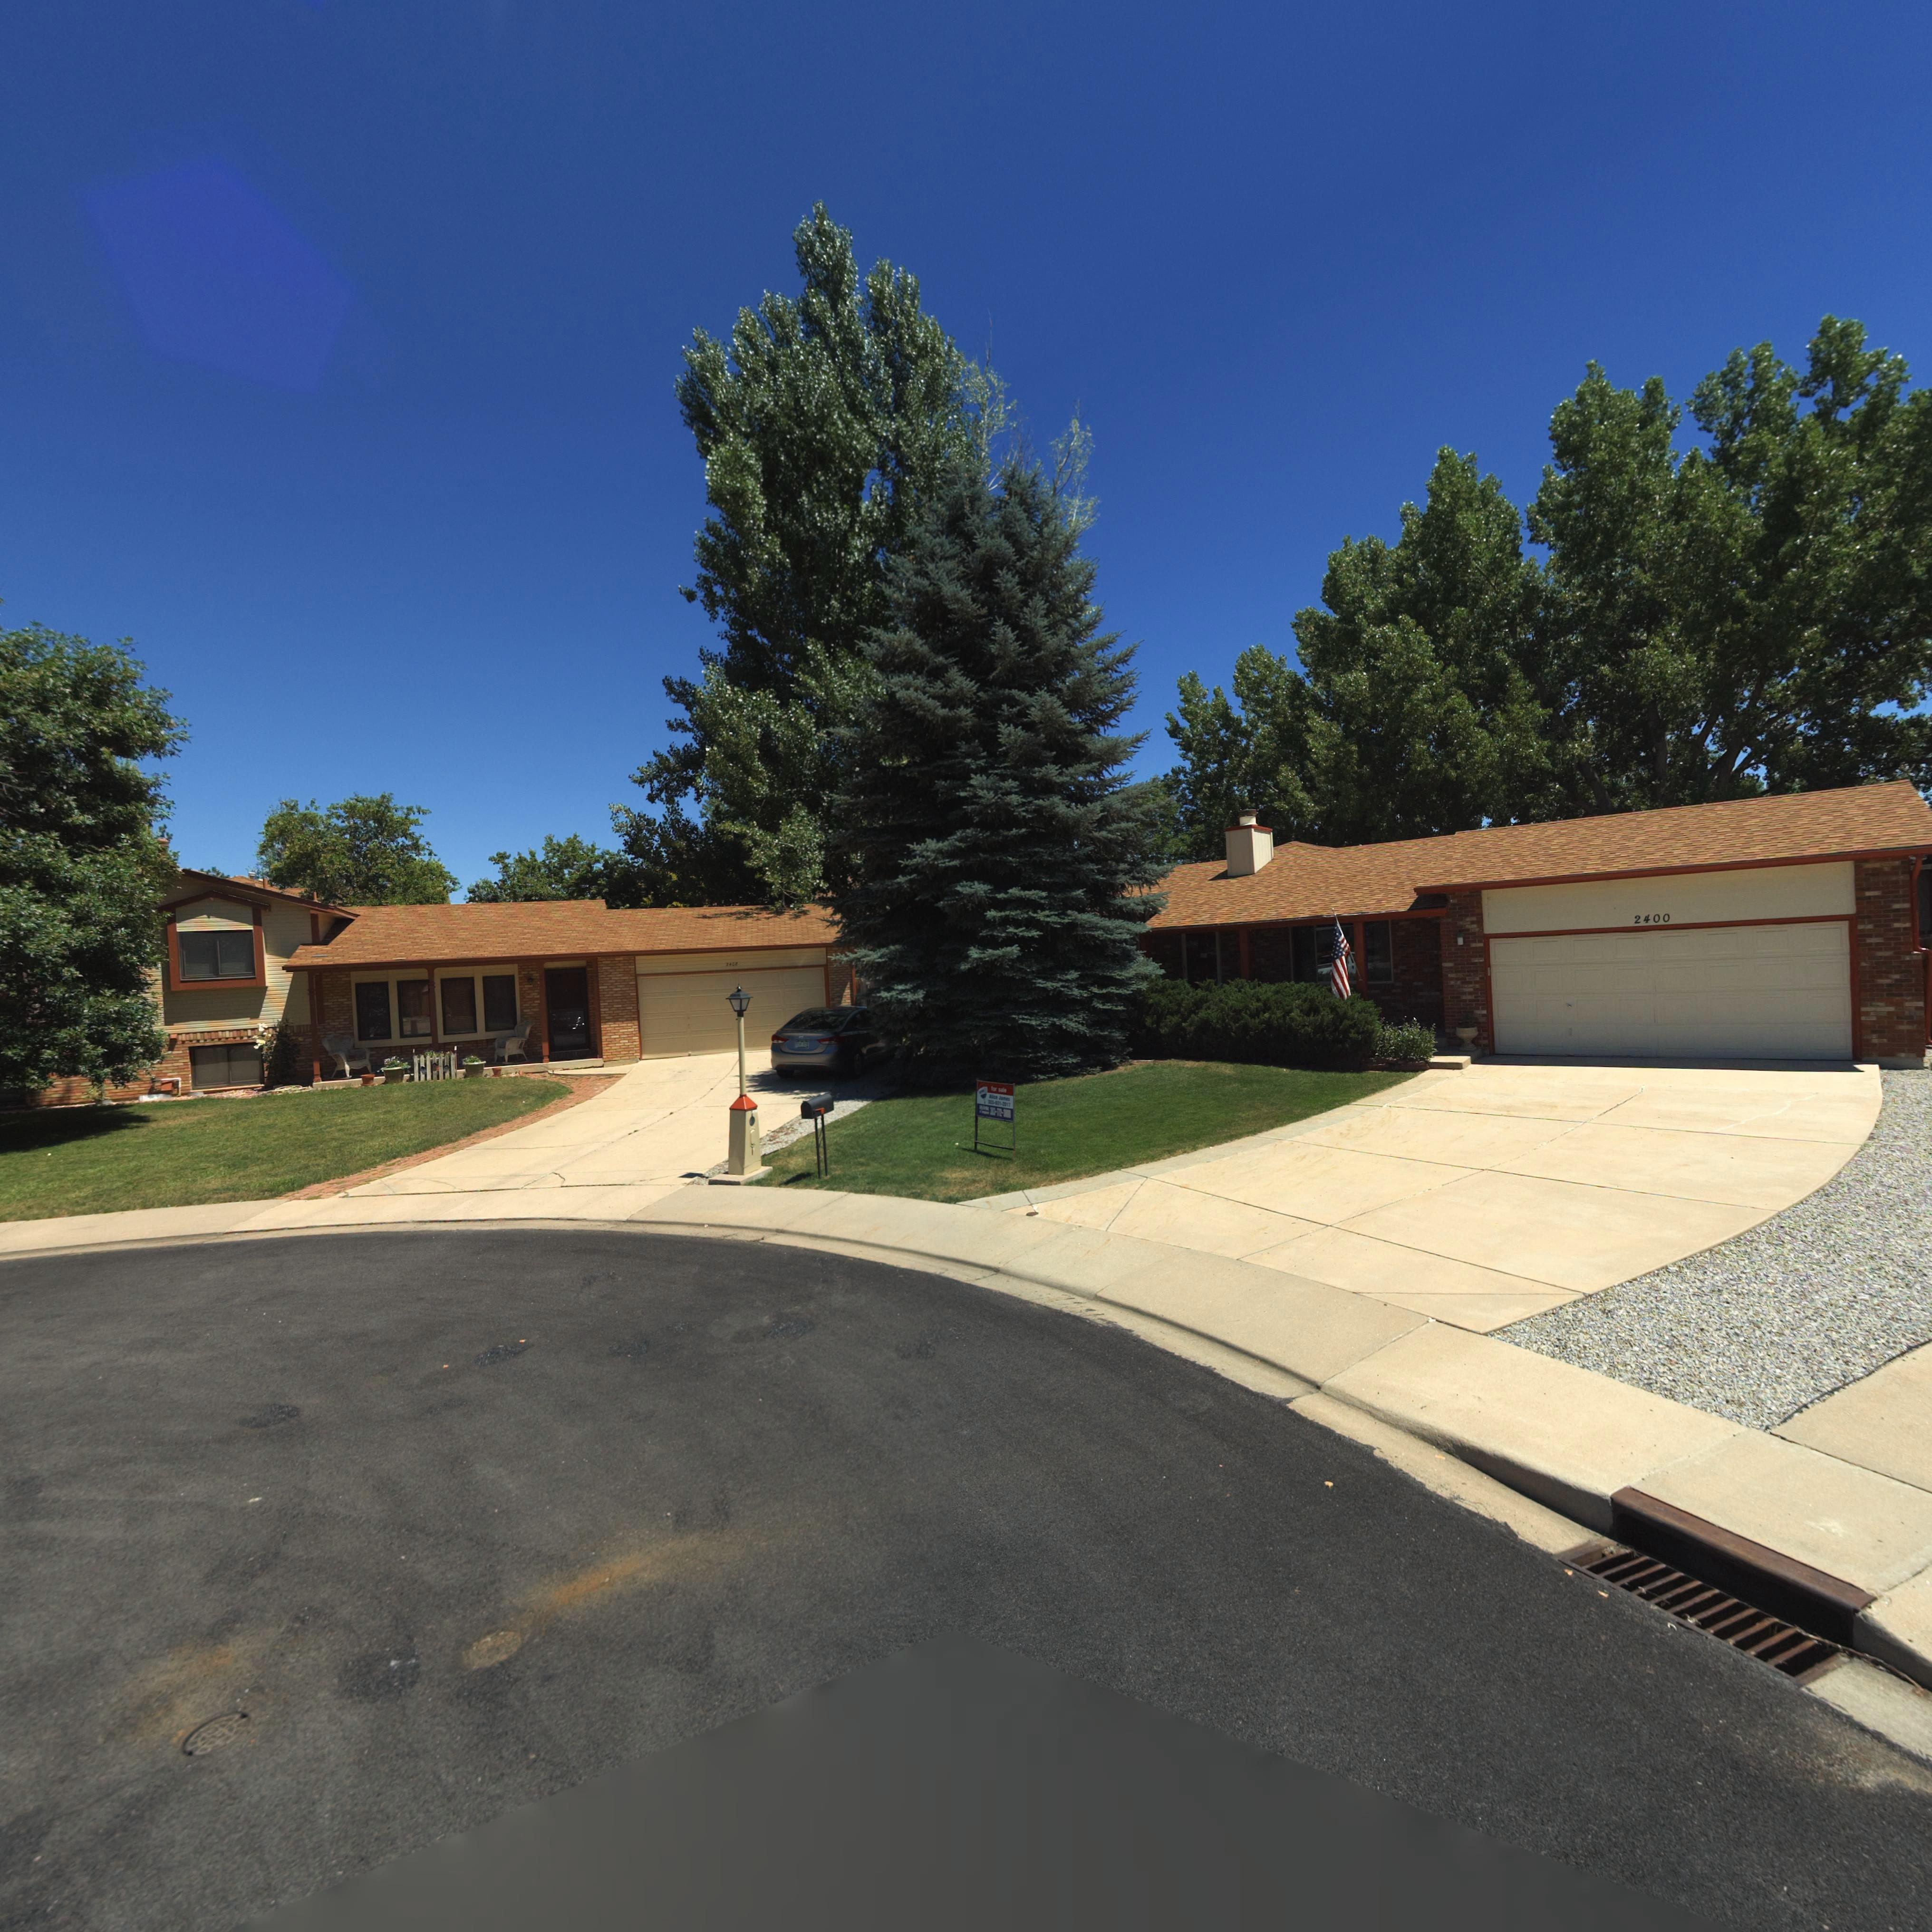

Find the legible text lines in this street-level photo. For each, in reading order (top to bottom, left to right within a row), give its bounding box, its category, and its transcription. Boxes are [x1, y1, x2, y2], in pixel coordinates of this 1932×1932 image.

[1634, 913, 1670, 924] StreetNumber: 2400
[725, 962, 738, 966] StreetNumber: 240*